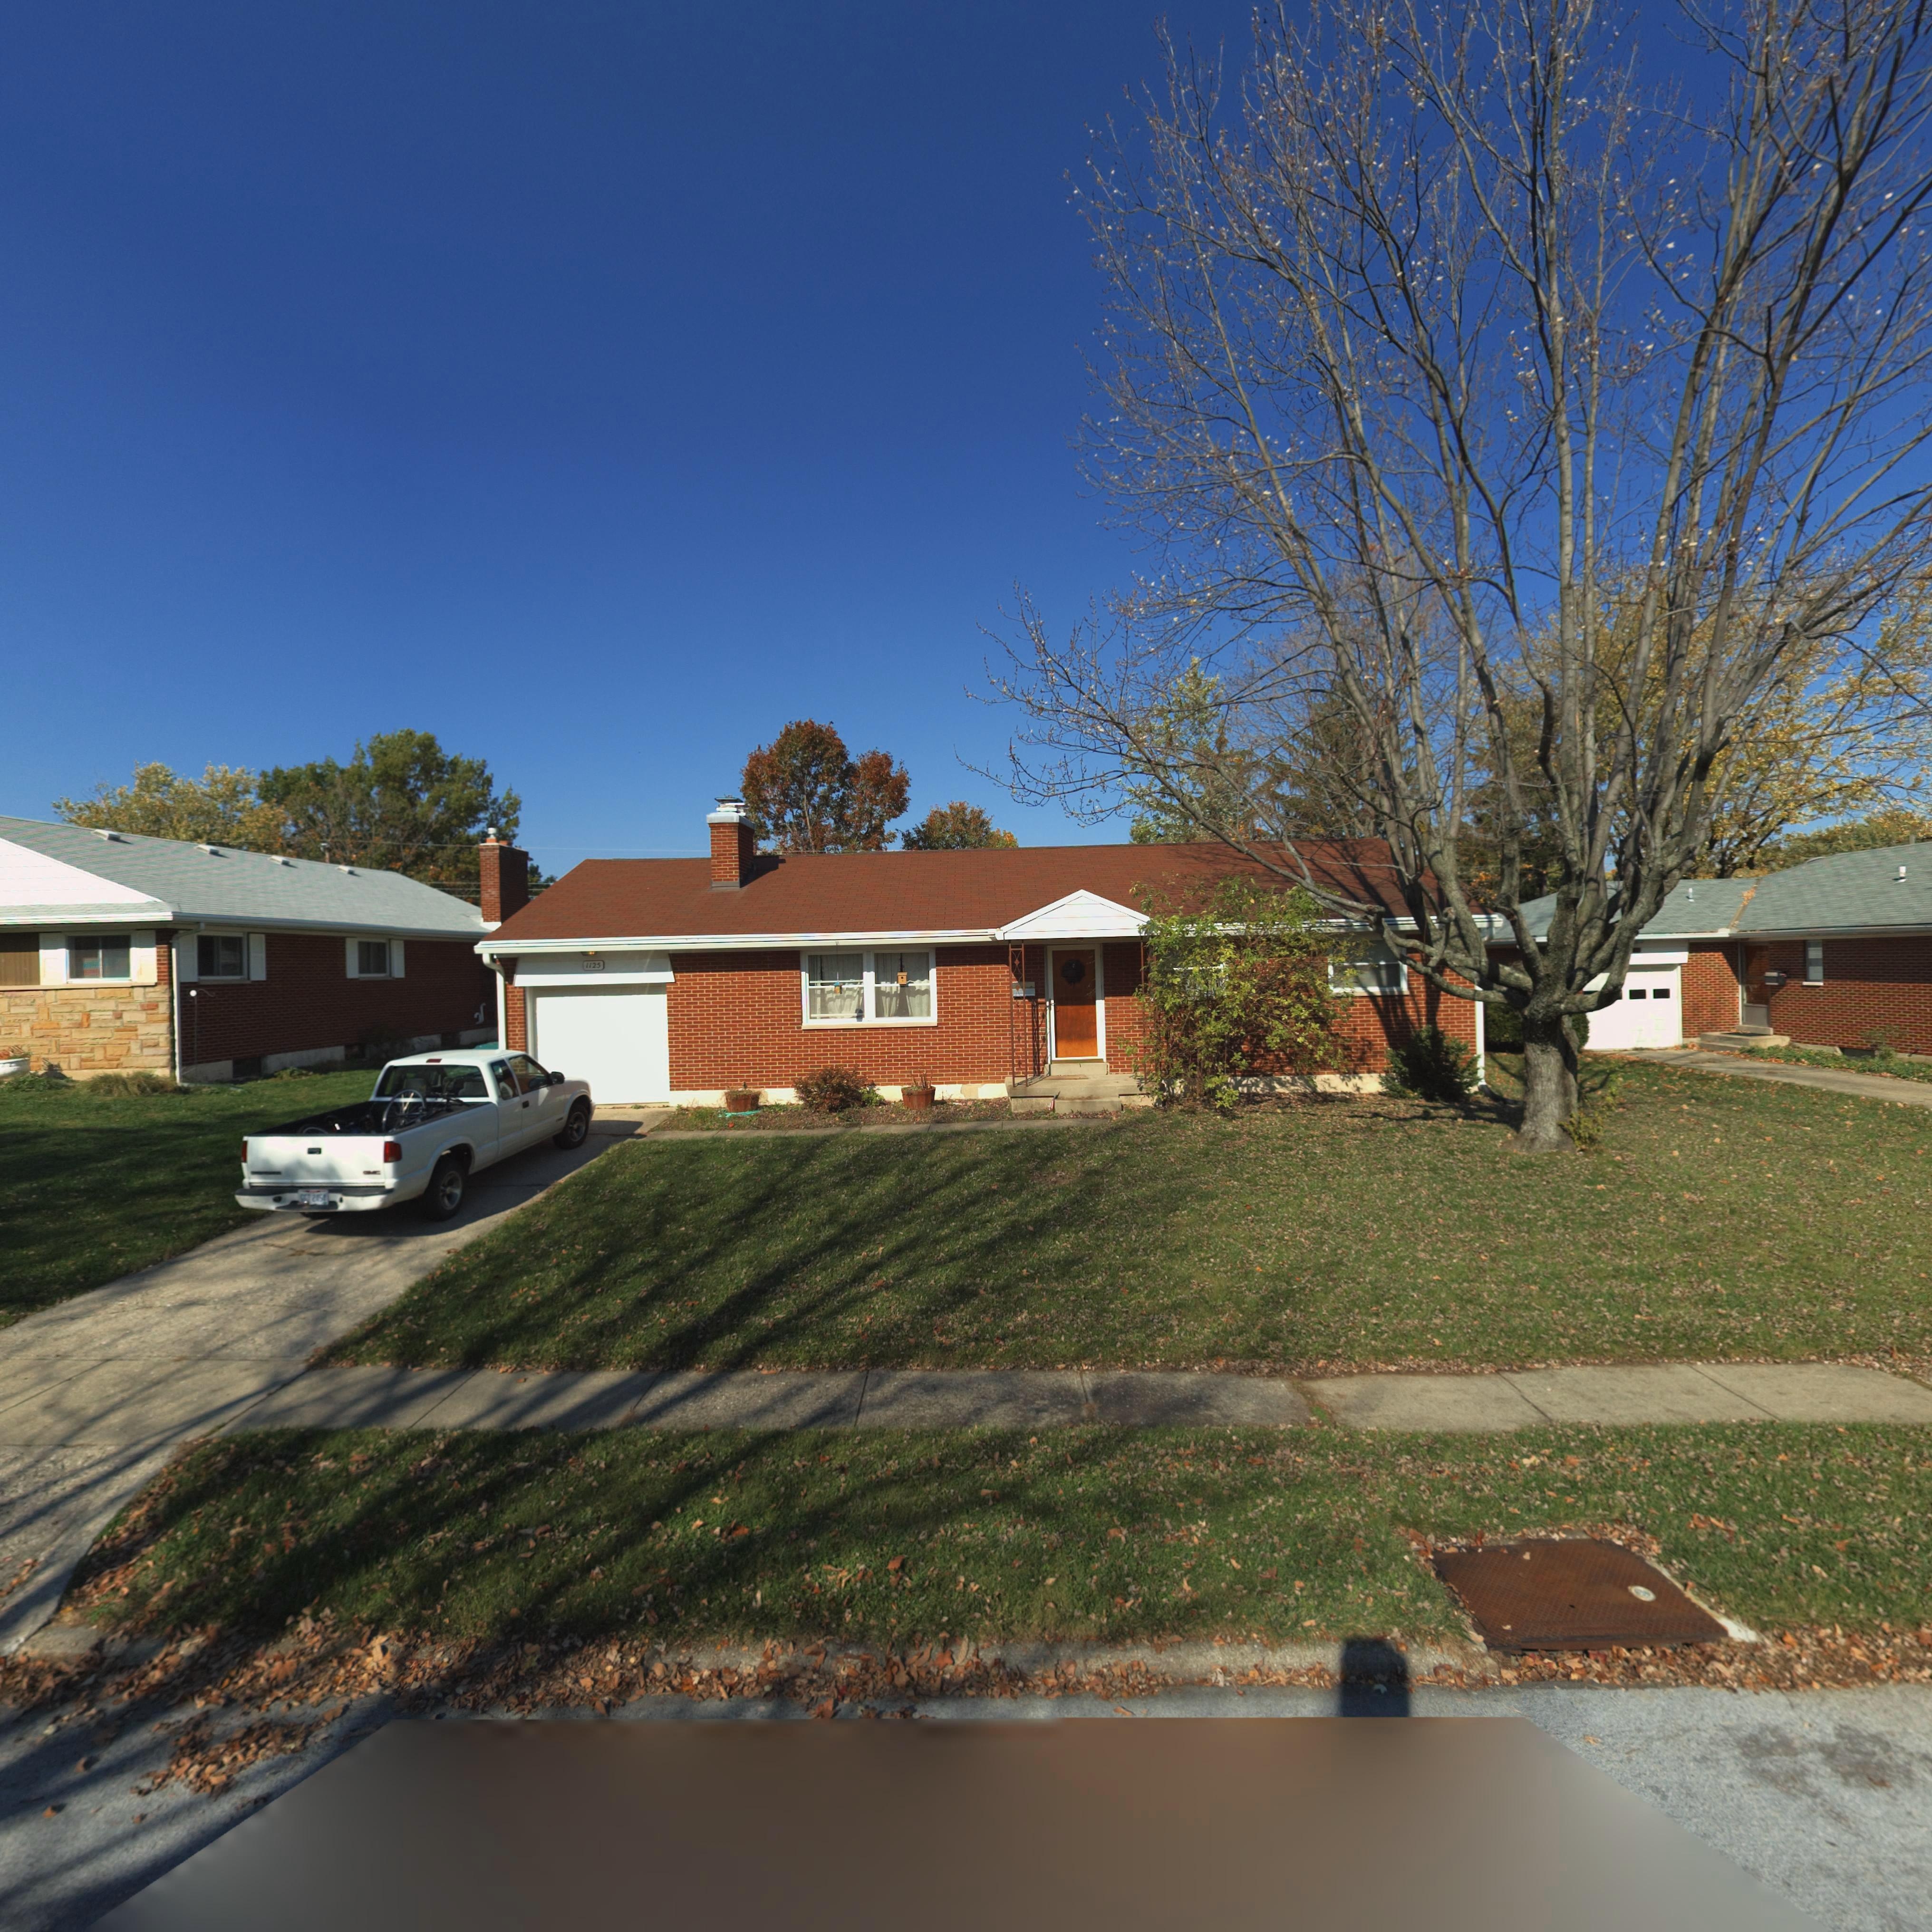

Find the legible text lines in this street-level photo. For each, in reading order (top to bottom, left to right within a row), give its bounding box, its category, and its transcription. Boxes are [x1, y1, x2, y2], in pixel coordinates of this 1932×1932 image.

[585, 961, 602, 970] StreetNumber: 1125